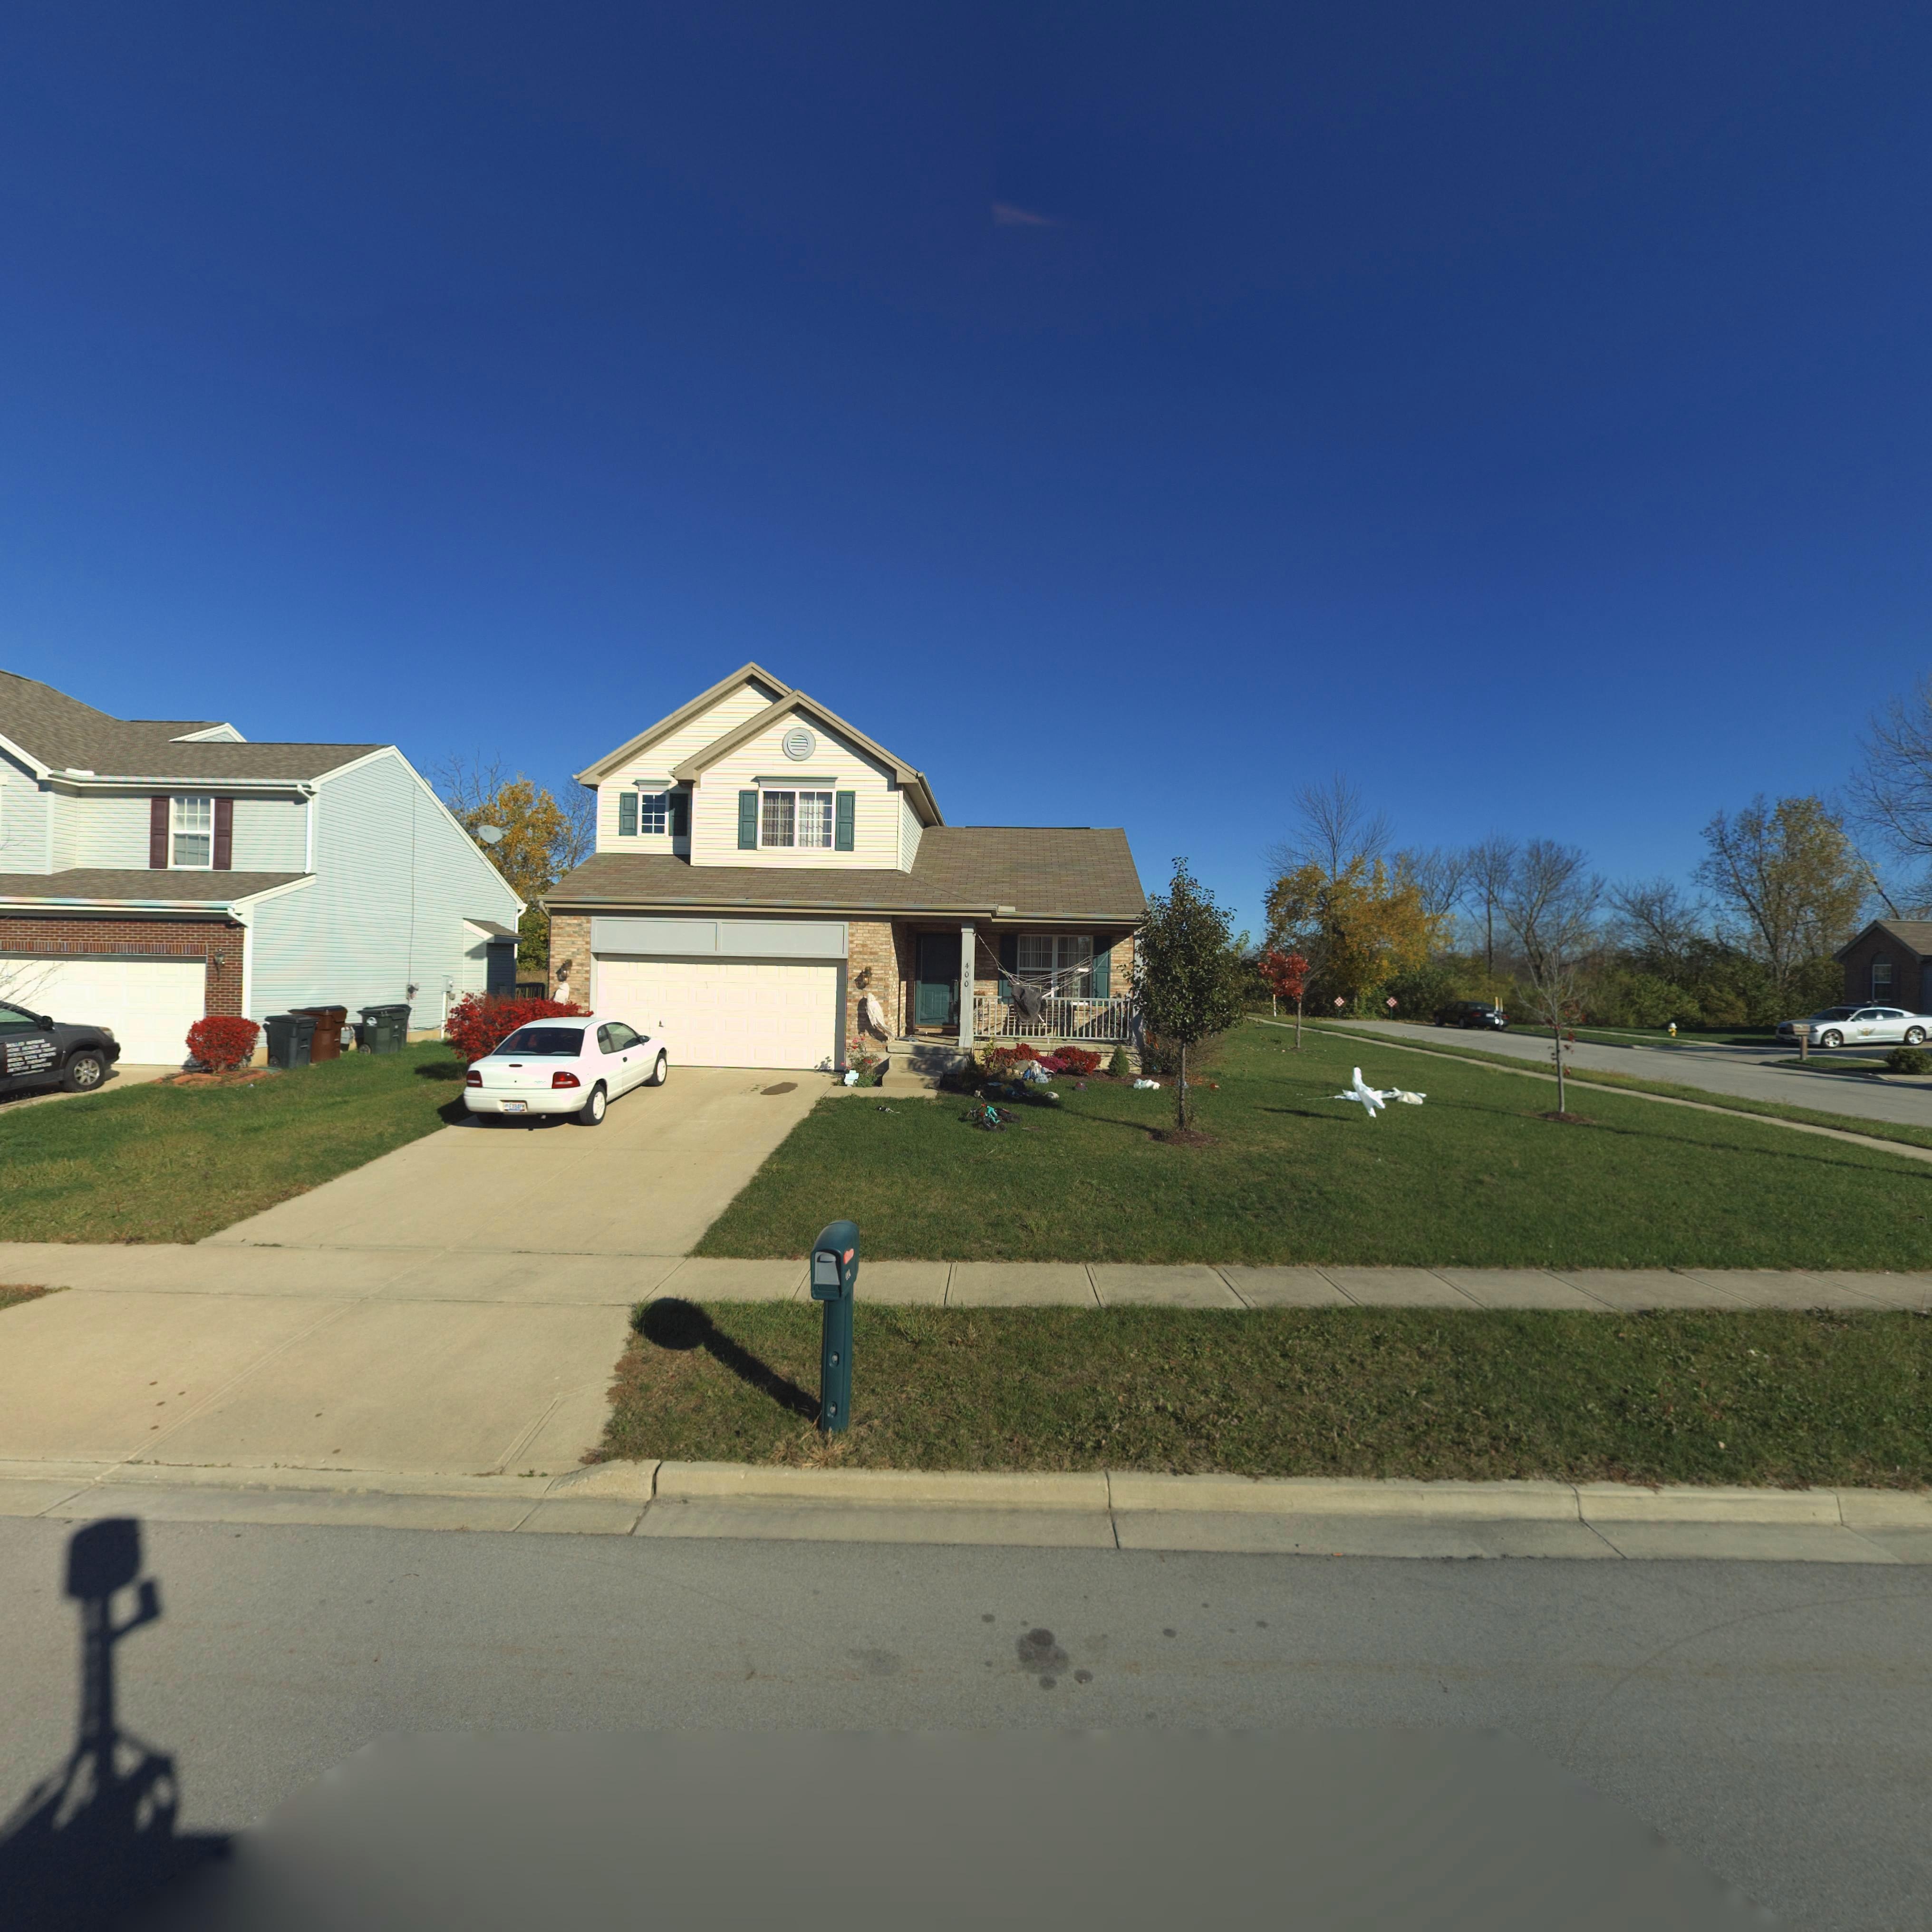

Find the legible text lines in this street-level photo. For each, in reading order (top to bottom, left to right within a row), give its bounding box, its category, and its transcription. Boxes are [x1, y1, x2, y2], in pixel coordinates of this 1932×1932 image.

[964, 961, 970, 988] StreetNumber: 400
[509, 1103, 525, 1111] None: E*****